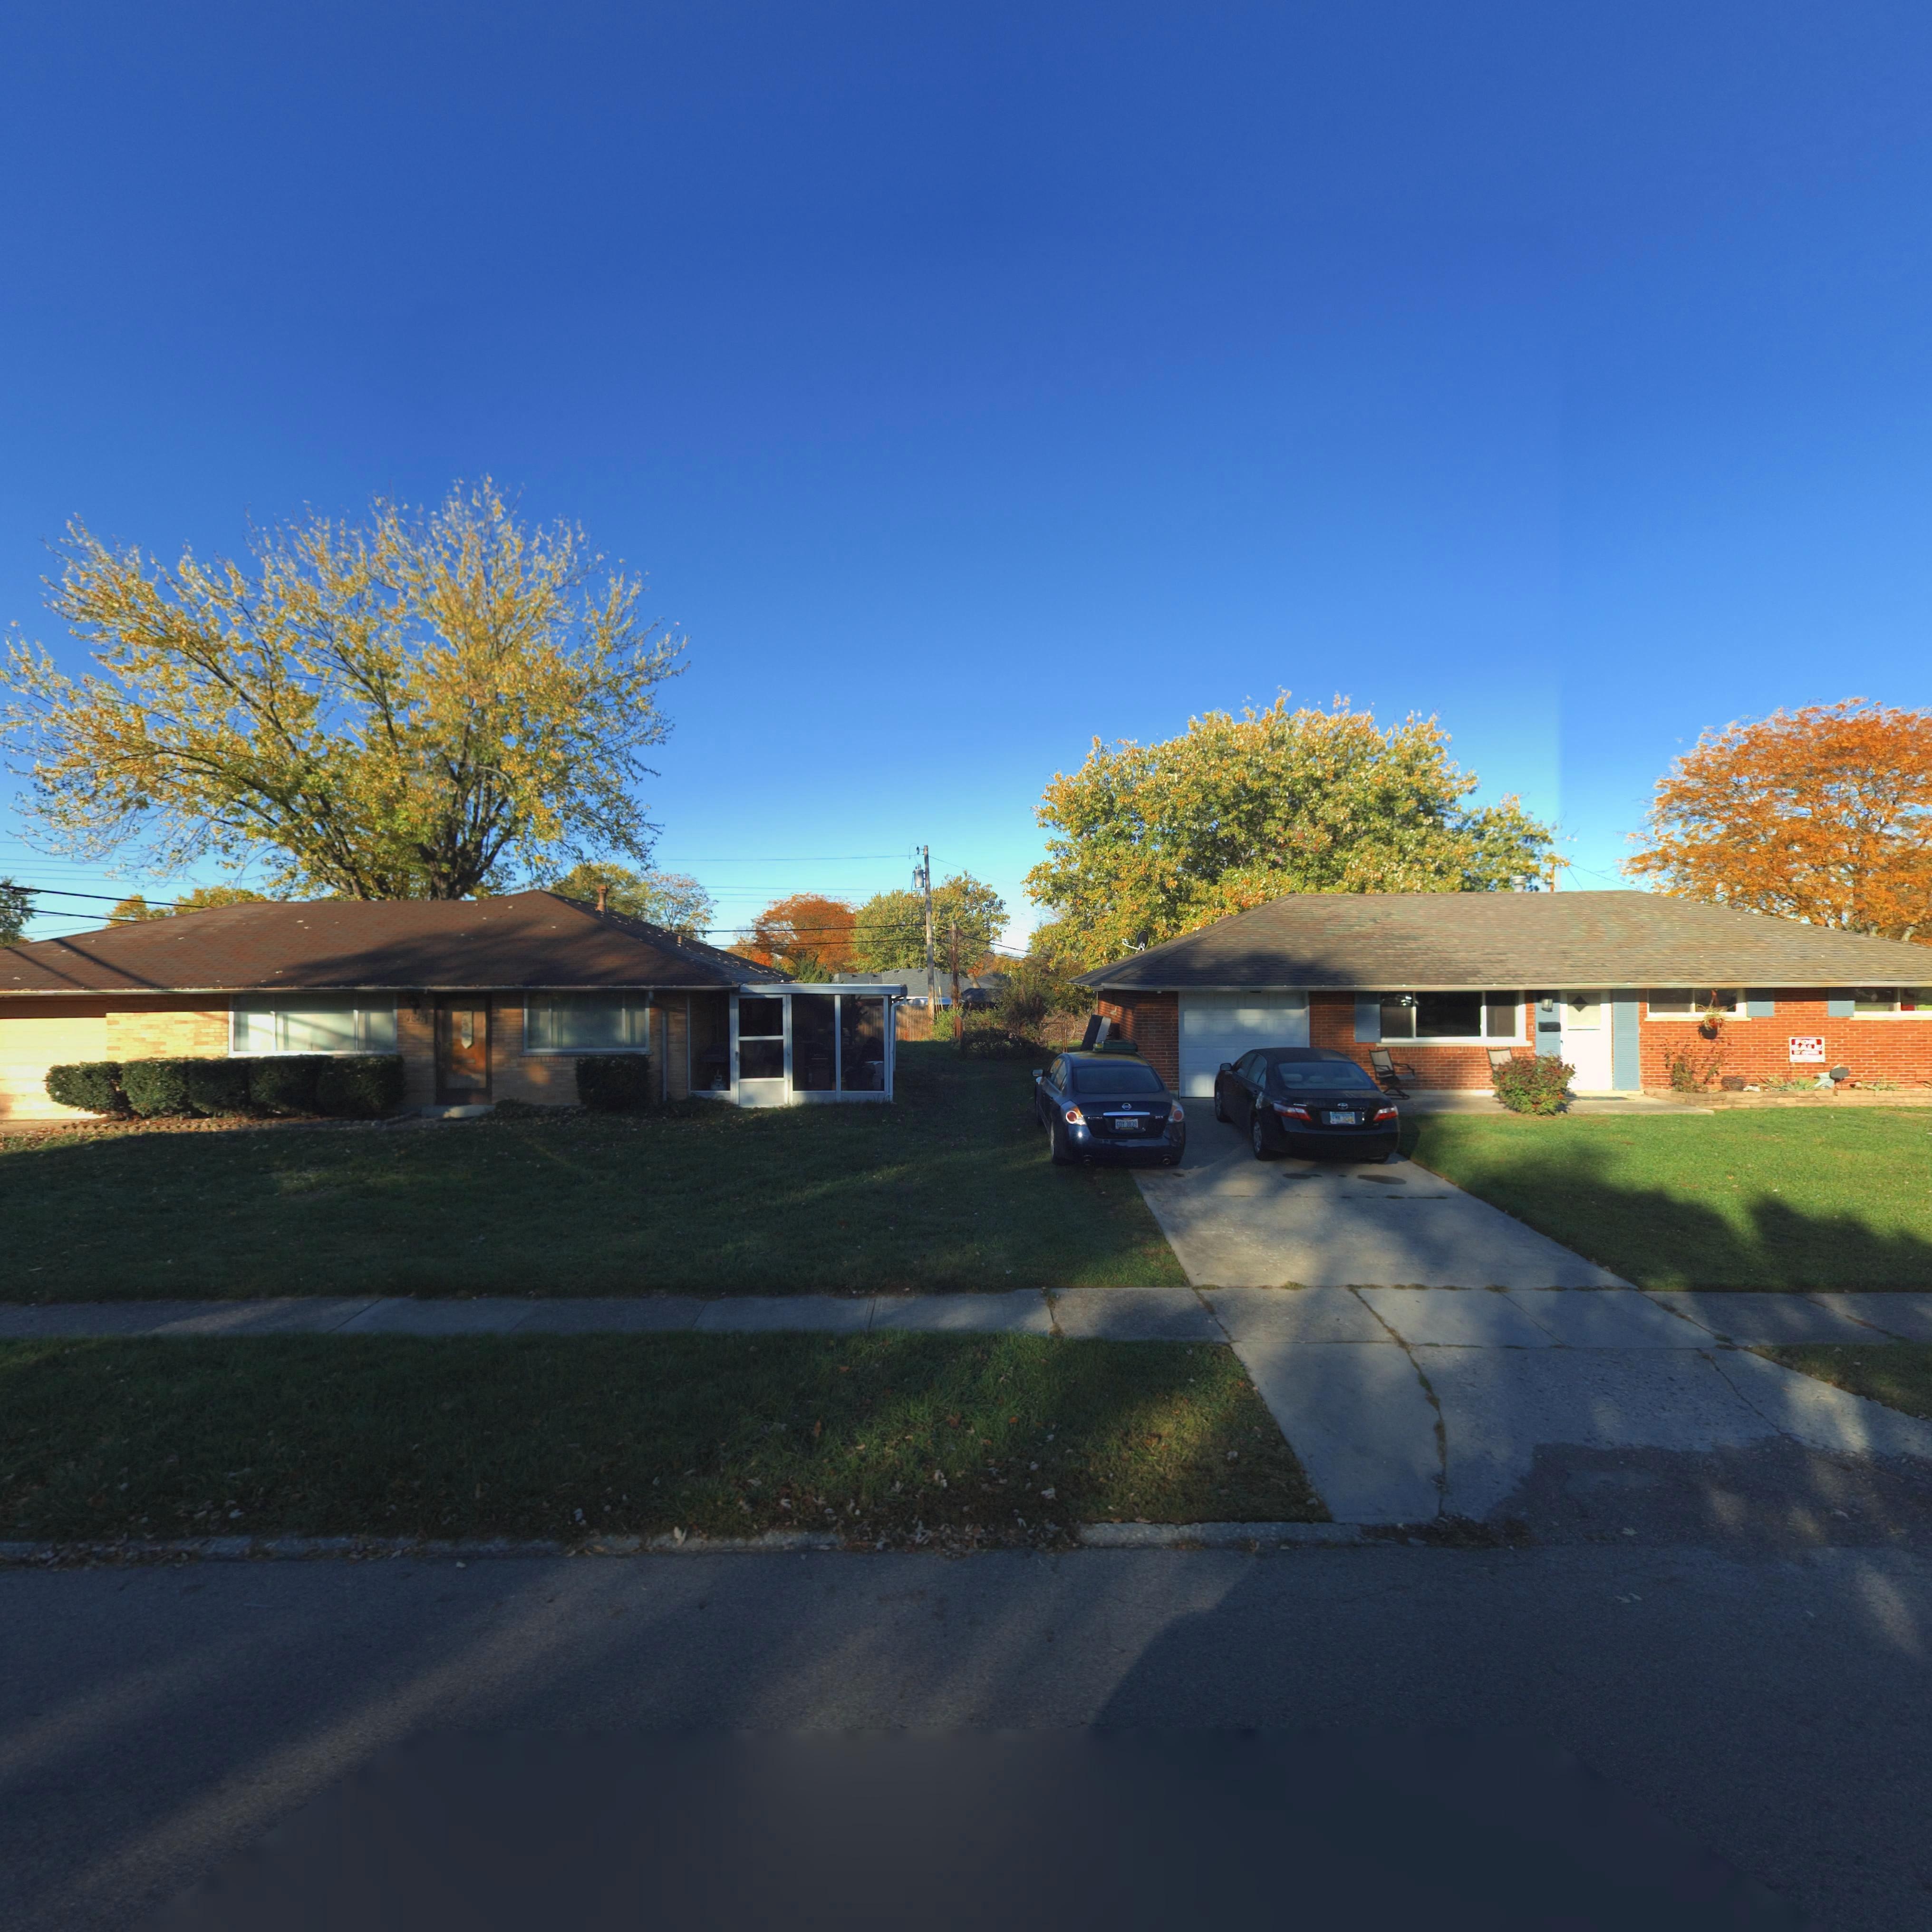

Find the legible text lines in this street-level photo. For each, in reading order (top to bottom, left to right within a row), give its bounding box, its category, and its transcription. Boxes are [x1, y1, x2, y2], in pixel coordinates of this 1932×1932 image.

[405, 1014, 425, 1023] StreetNumber: 4047